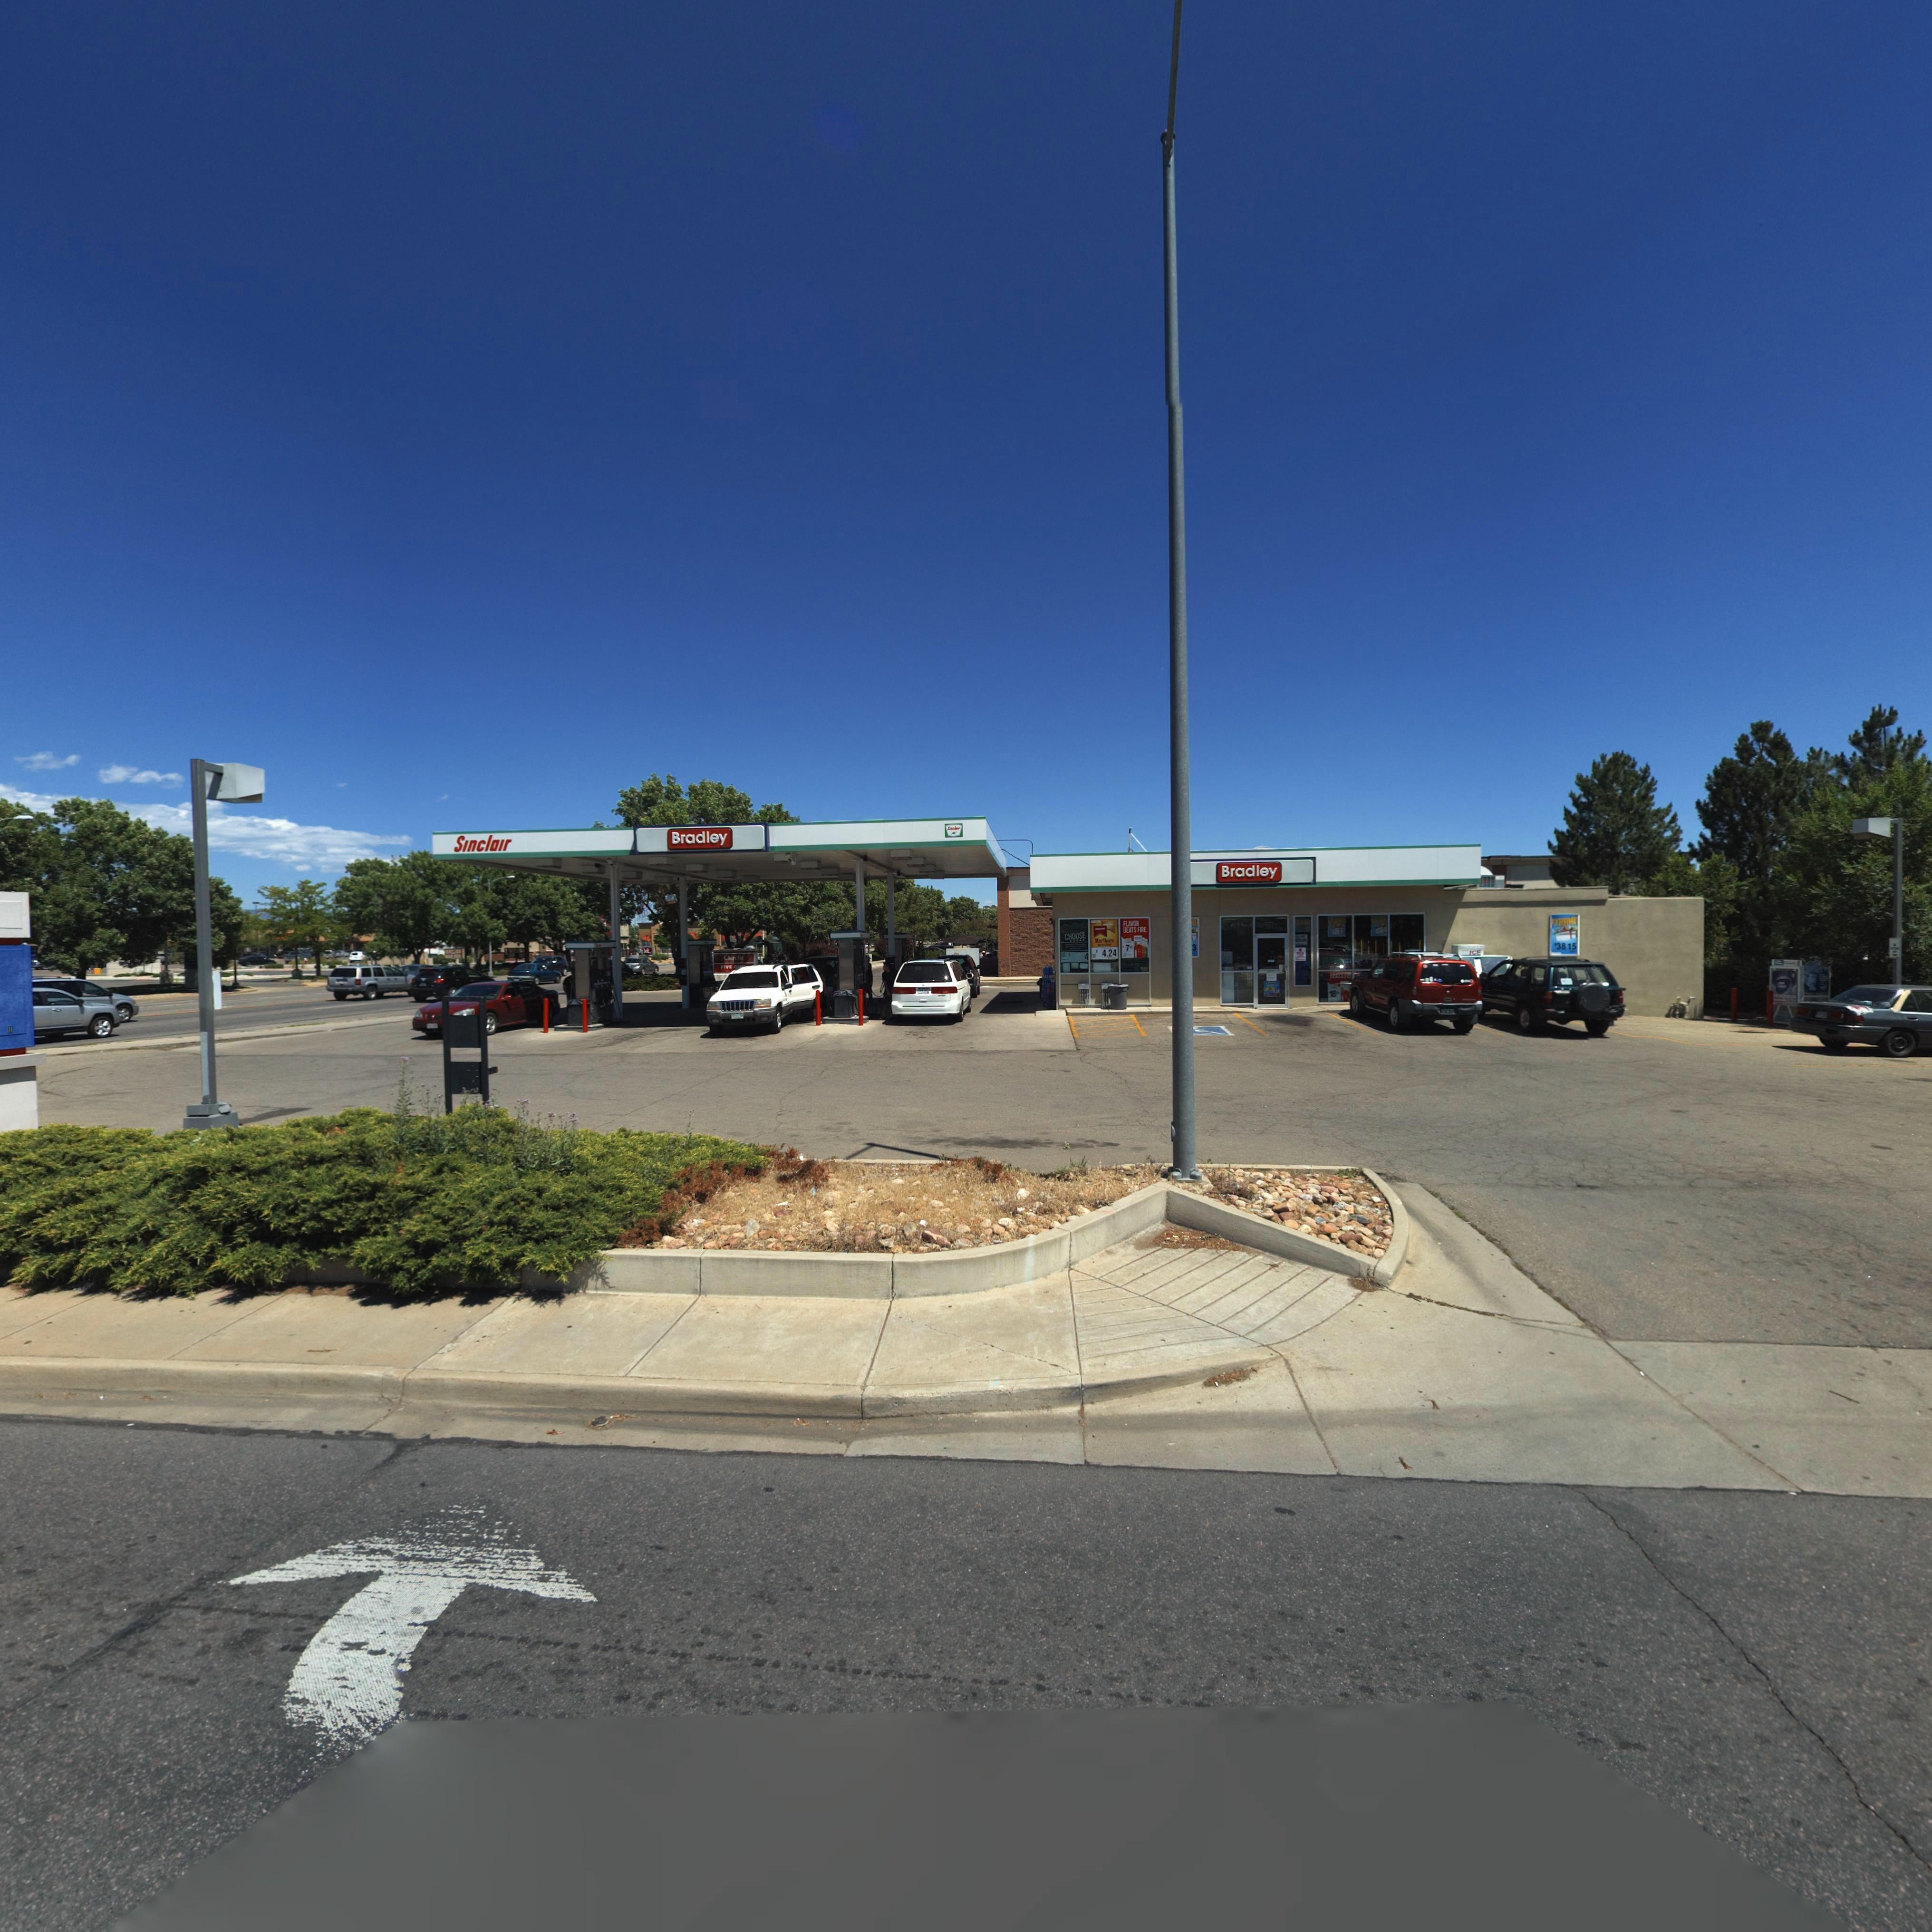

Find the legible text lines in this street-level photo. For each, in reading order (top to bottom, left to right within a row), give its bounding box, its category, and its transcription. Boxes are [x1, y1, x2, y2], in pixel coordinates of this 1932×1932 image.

[946, 825, 961, 831] BusinessName: S**cl***
[452, 833, 514, 853] BusinessName: Sinclair
[671, 831, 728, 846] BusinessName: Bradley
[1221, 864, 1279, 880] BusinessName: Bradley
[723, 953, 744, 962] BusinessName: Chipotle
[720, 965, 732, 969] BusinessName: FIVE